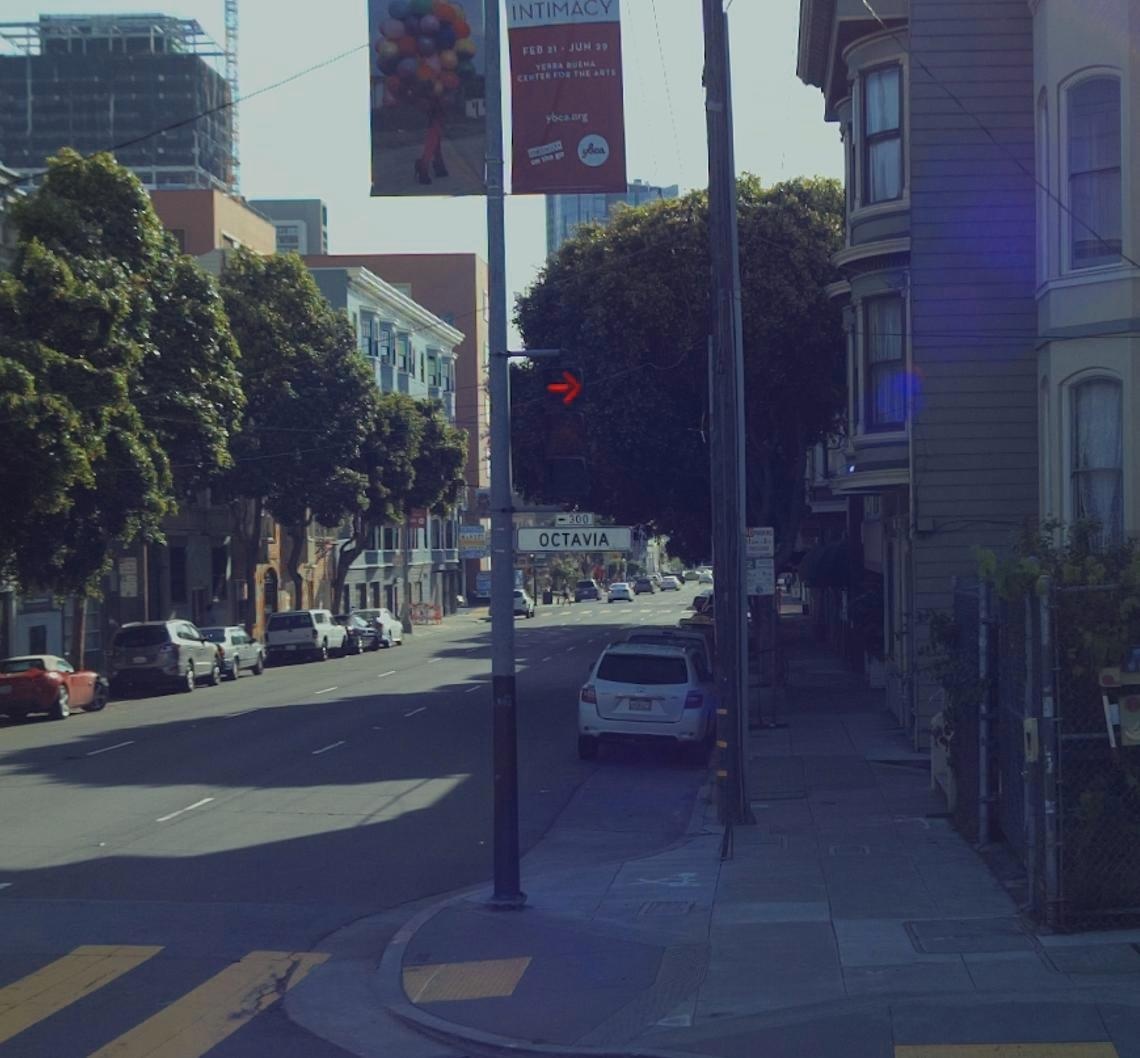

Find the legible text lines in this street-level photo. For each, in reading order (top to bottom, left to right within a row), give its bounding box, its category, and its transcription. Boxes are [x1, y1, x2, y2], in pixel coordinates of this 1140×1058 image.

[510, 0, 616, 23] None: INTIMACY
[521, 38, 609, 58] None: FEB 31*JUN 29
[555, 512, 591, 525] StreetNumberRange: <-300
[537, 528, 611, 549] StreetName: OCTAVIA
[744, 527, 753, 537] None: NO
[745, 560, 754, 569] None: 2